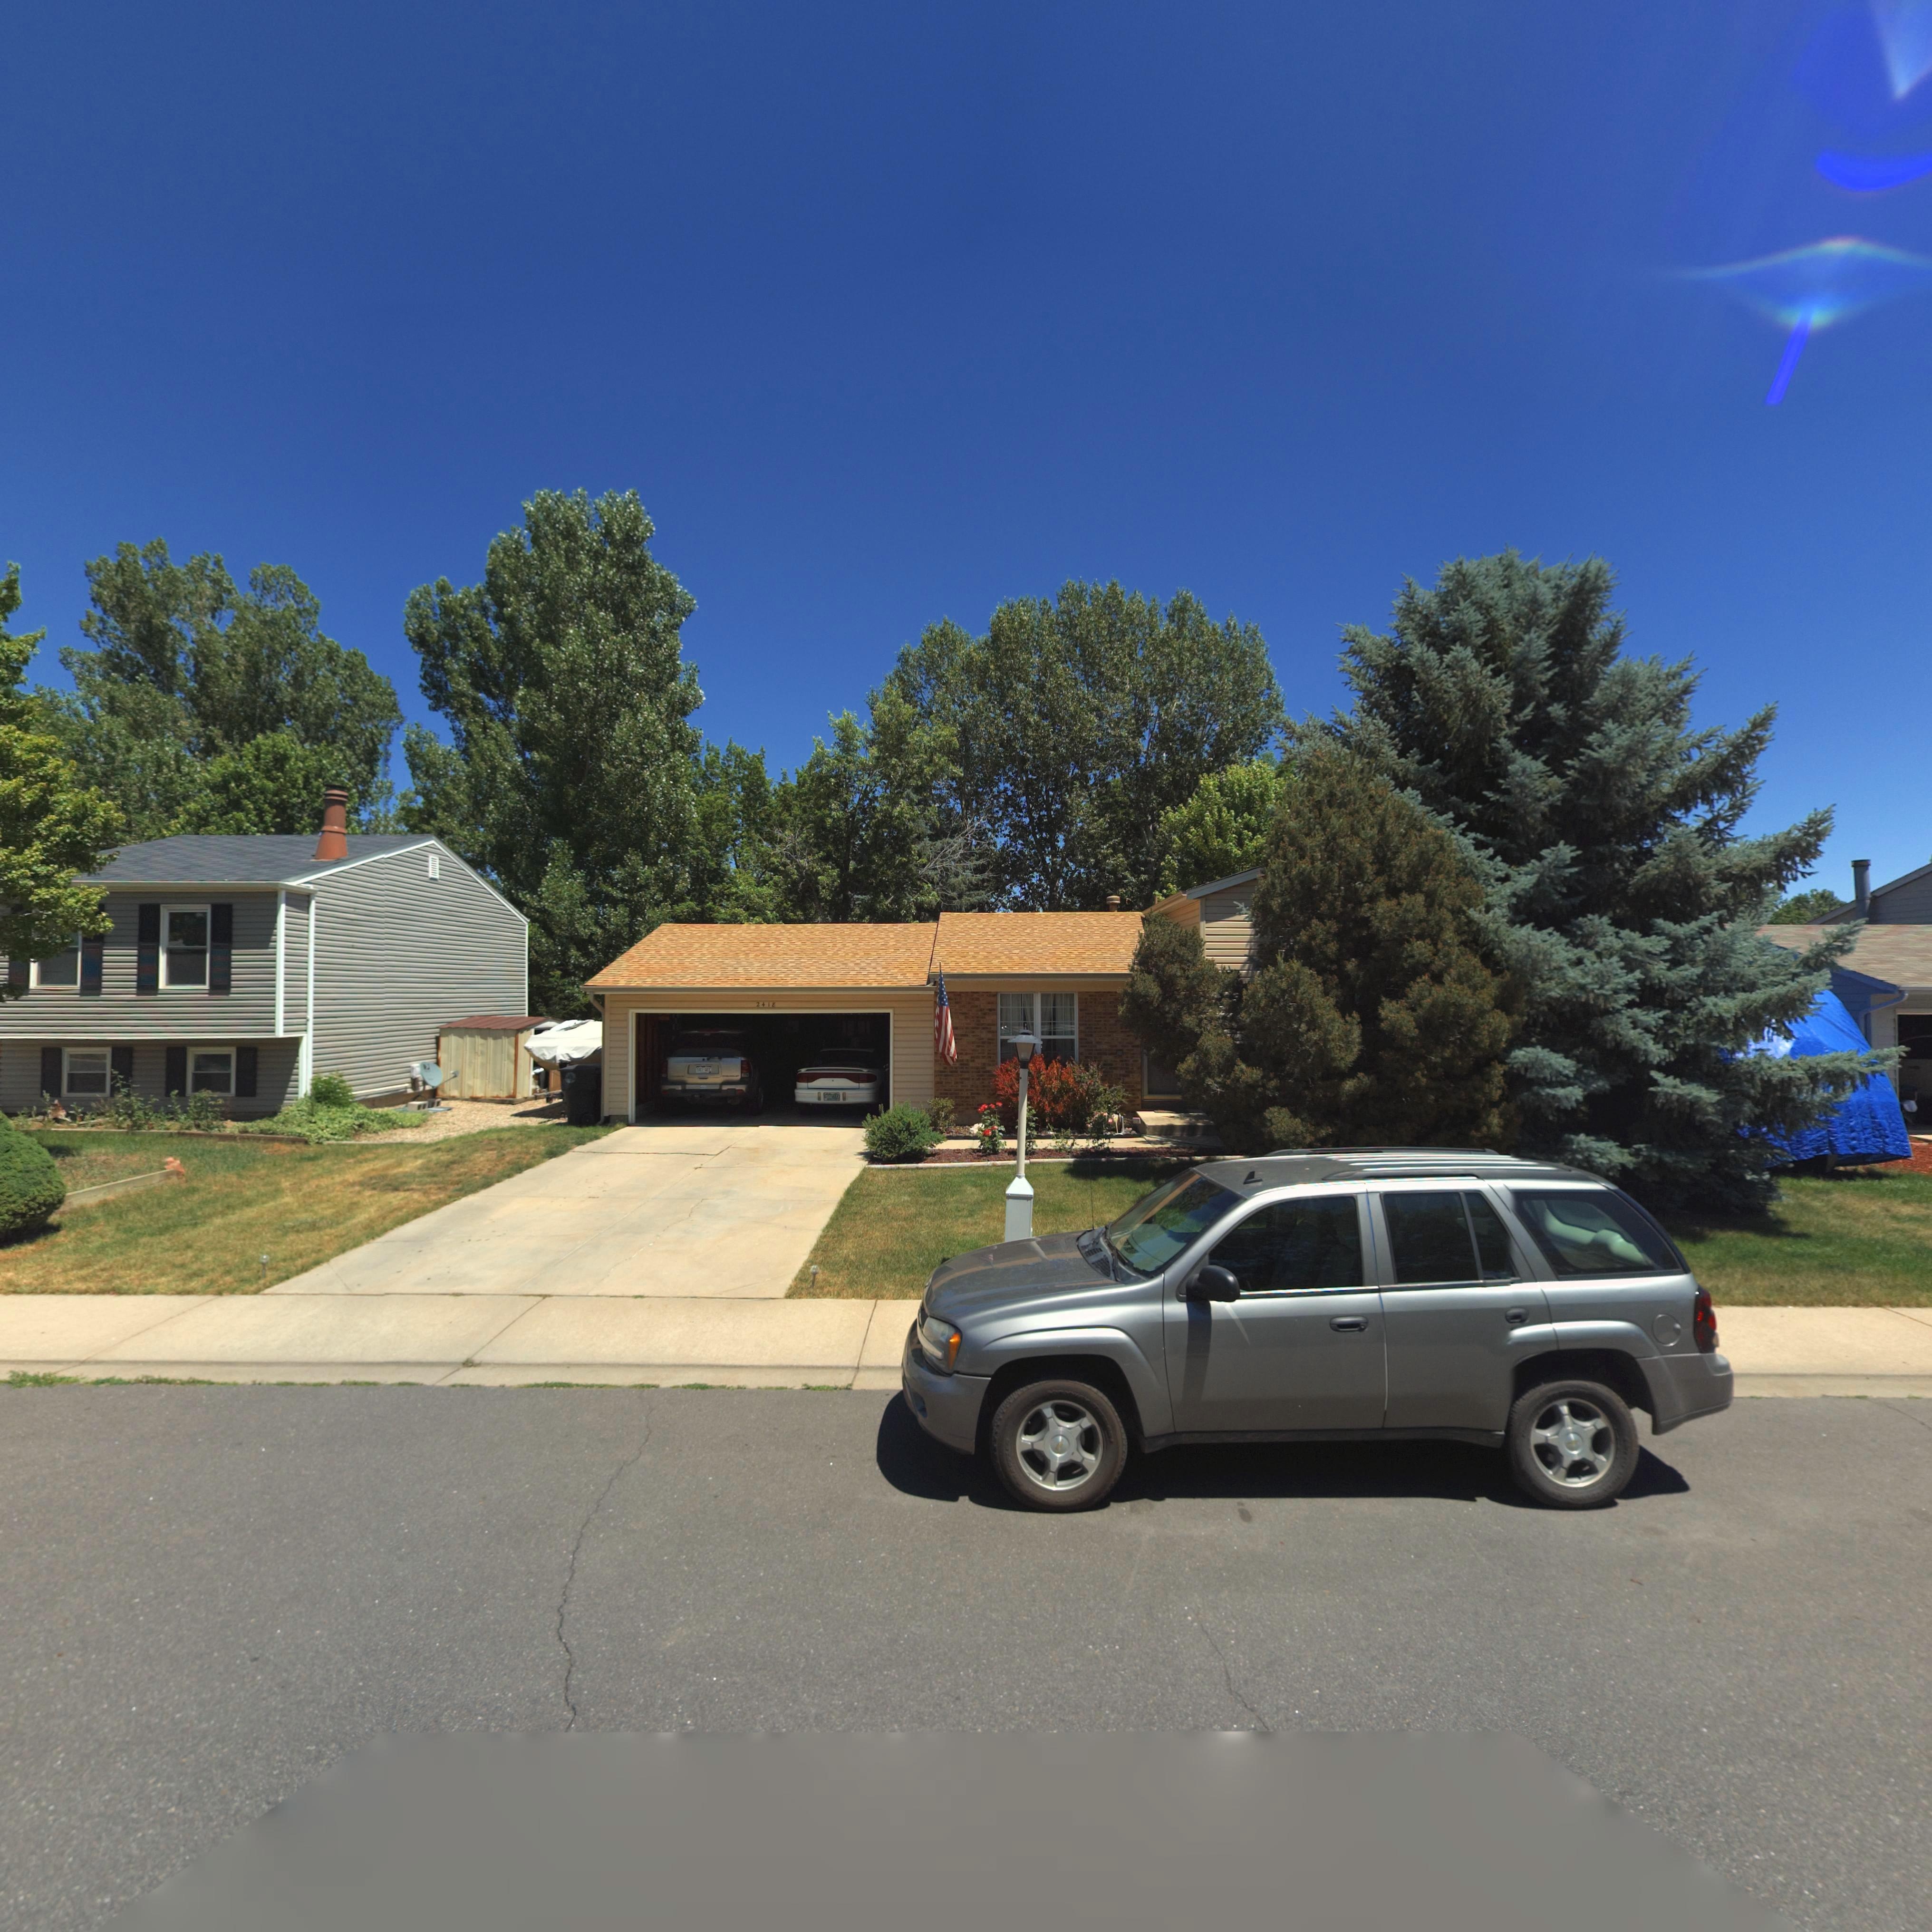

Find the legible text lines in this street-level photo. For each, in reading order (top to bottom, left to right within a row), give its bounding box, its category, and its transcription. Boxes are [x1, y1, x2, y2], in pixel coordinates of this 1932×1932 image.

[755, 1002, 775, 1007] StreetNumber: 2418